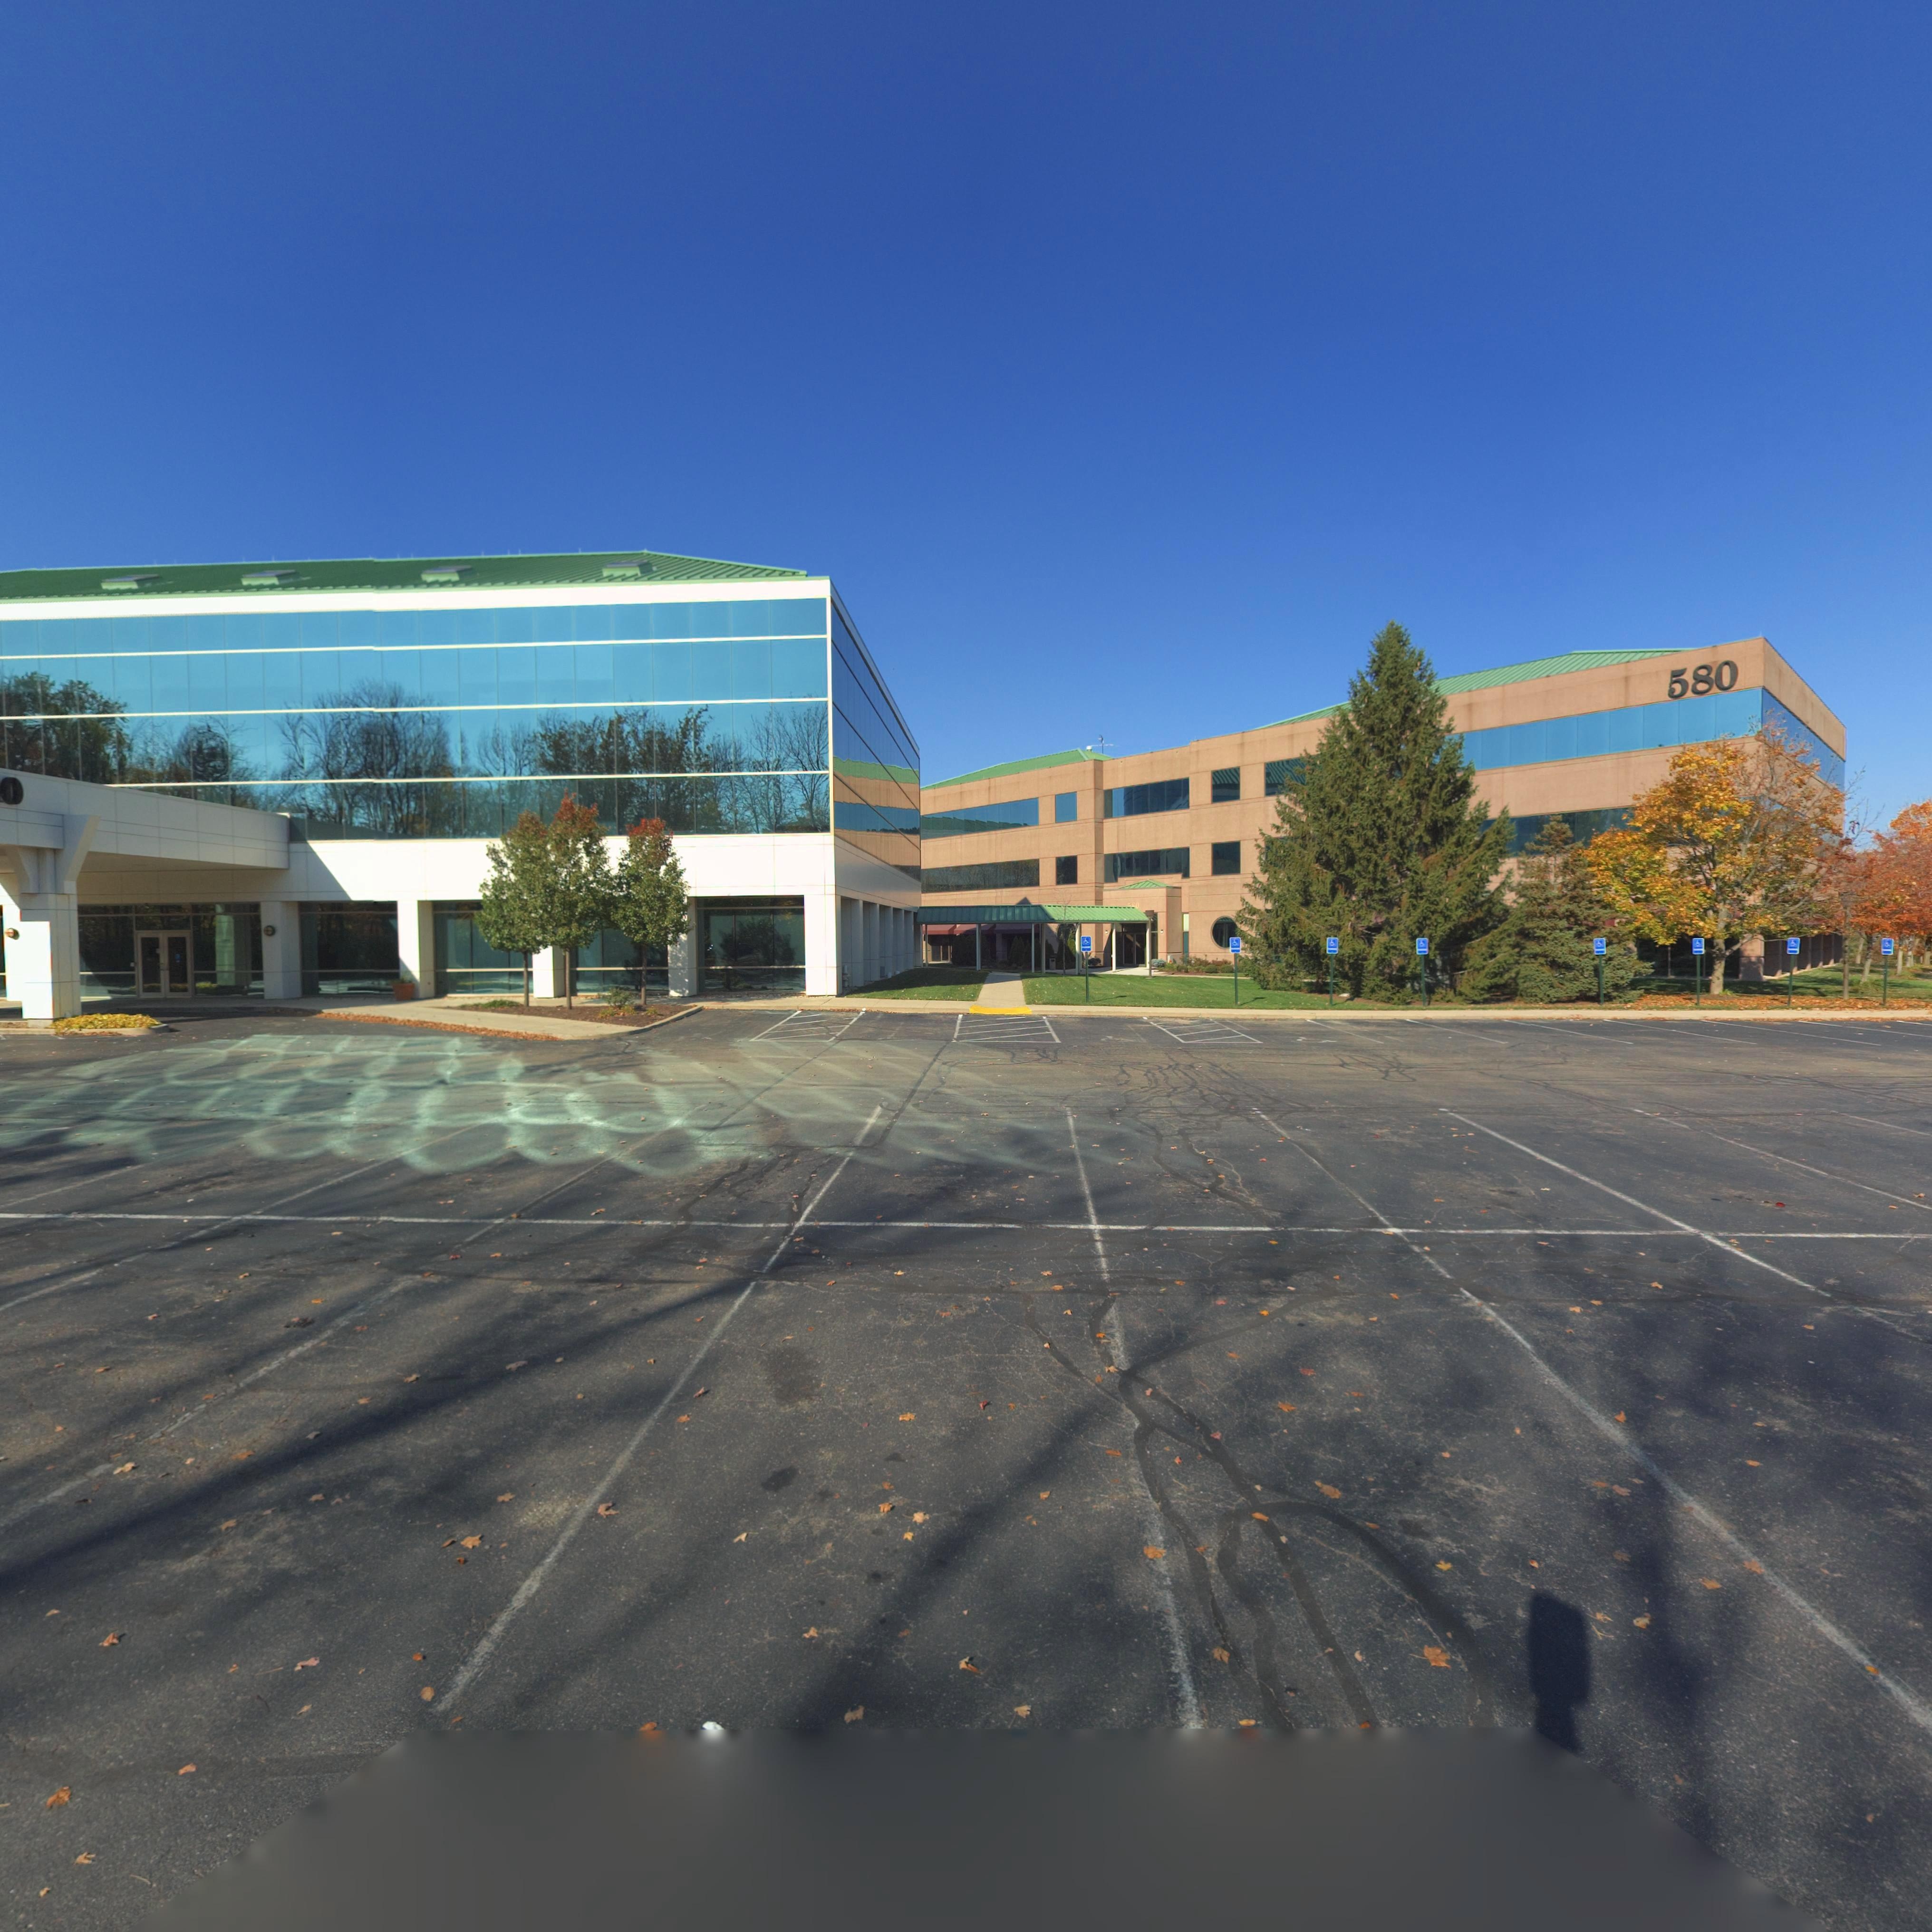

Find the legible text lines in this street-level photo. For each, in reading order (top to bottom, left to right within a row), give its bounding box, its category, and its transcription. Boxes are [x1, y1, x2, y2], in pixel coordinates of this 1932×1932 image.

[1667, 658, 1739, 700] StreetNumber: 580
[1, 775, 24, 807] StreetNumber: 0